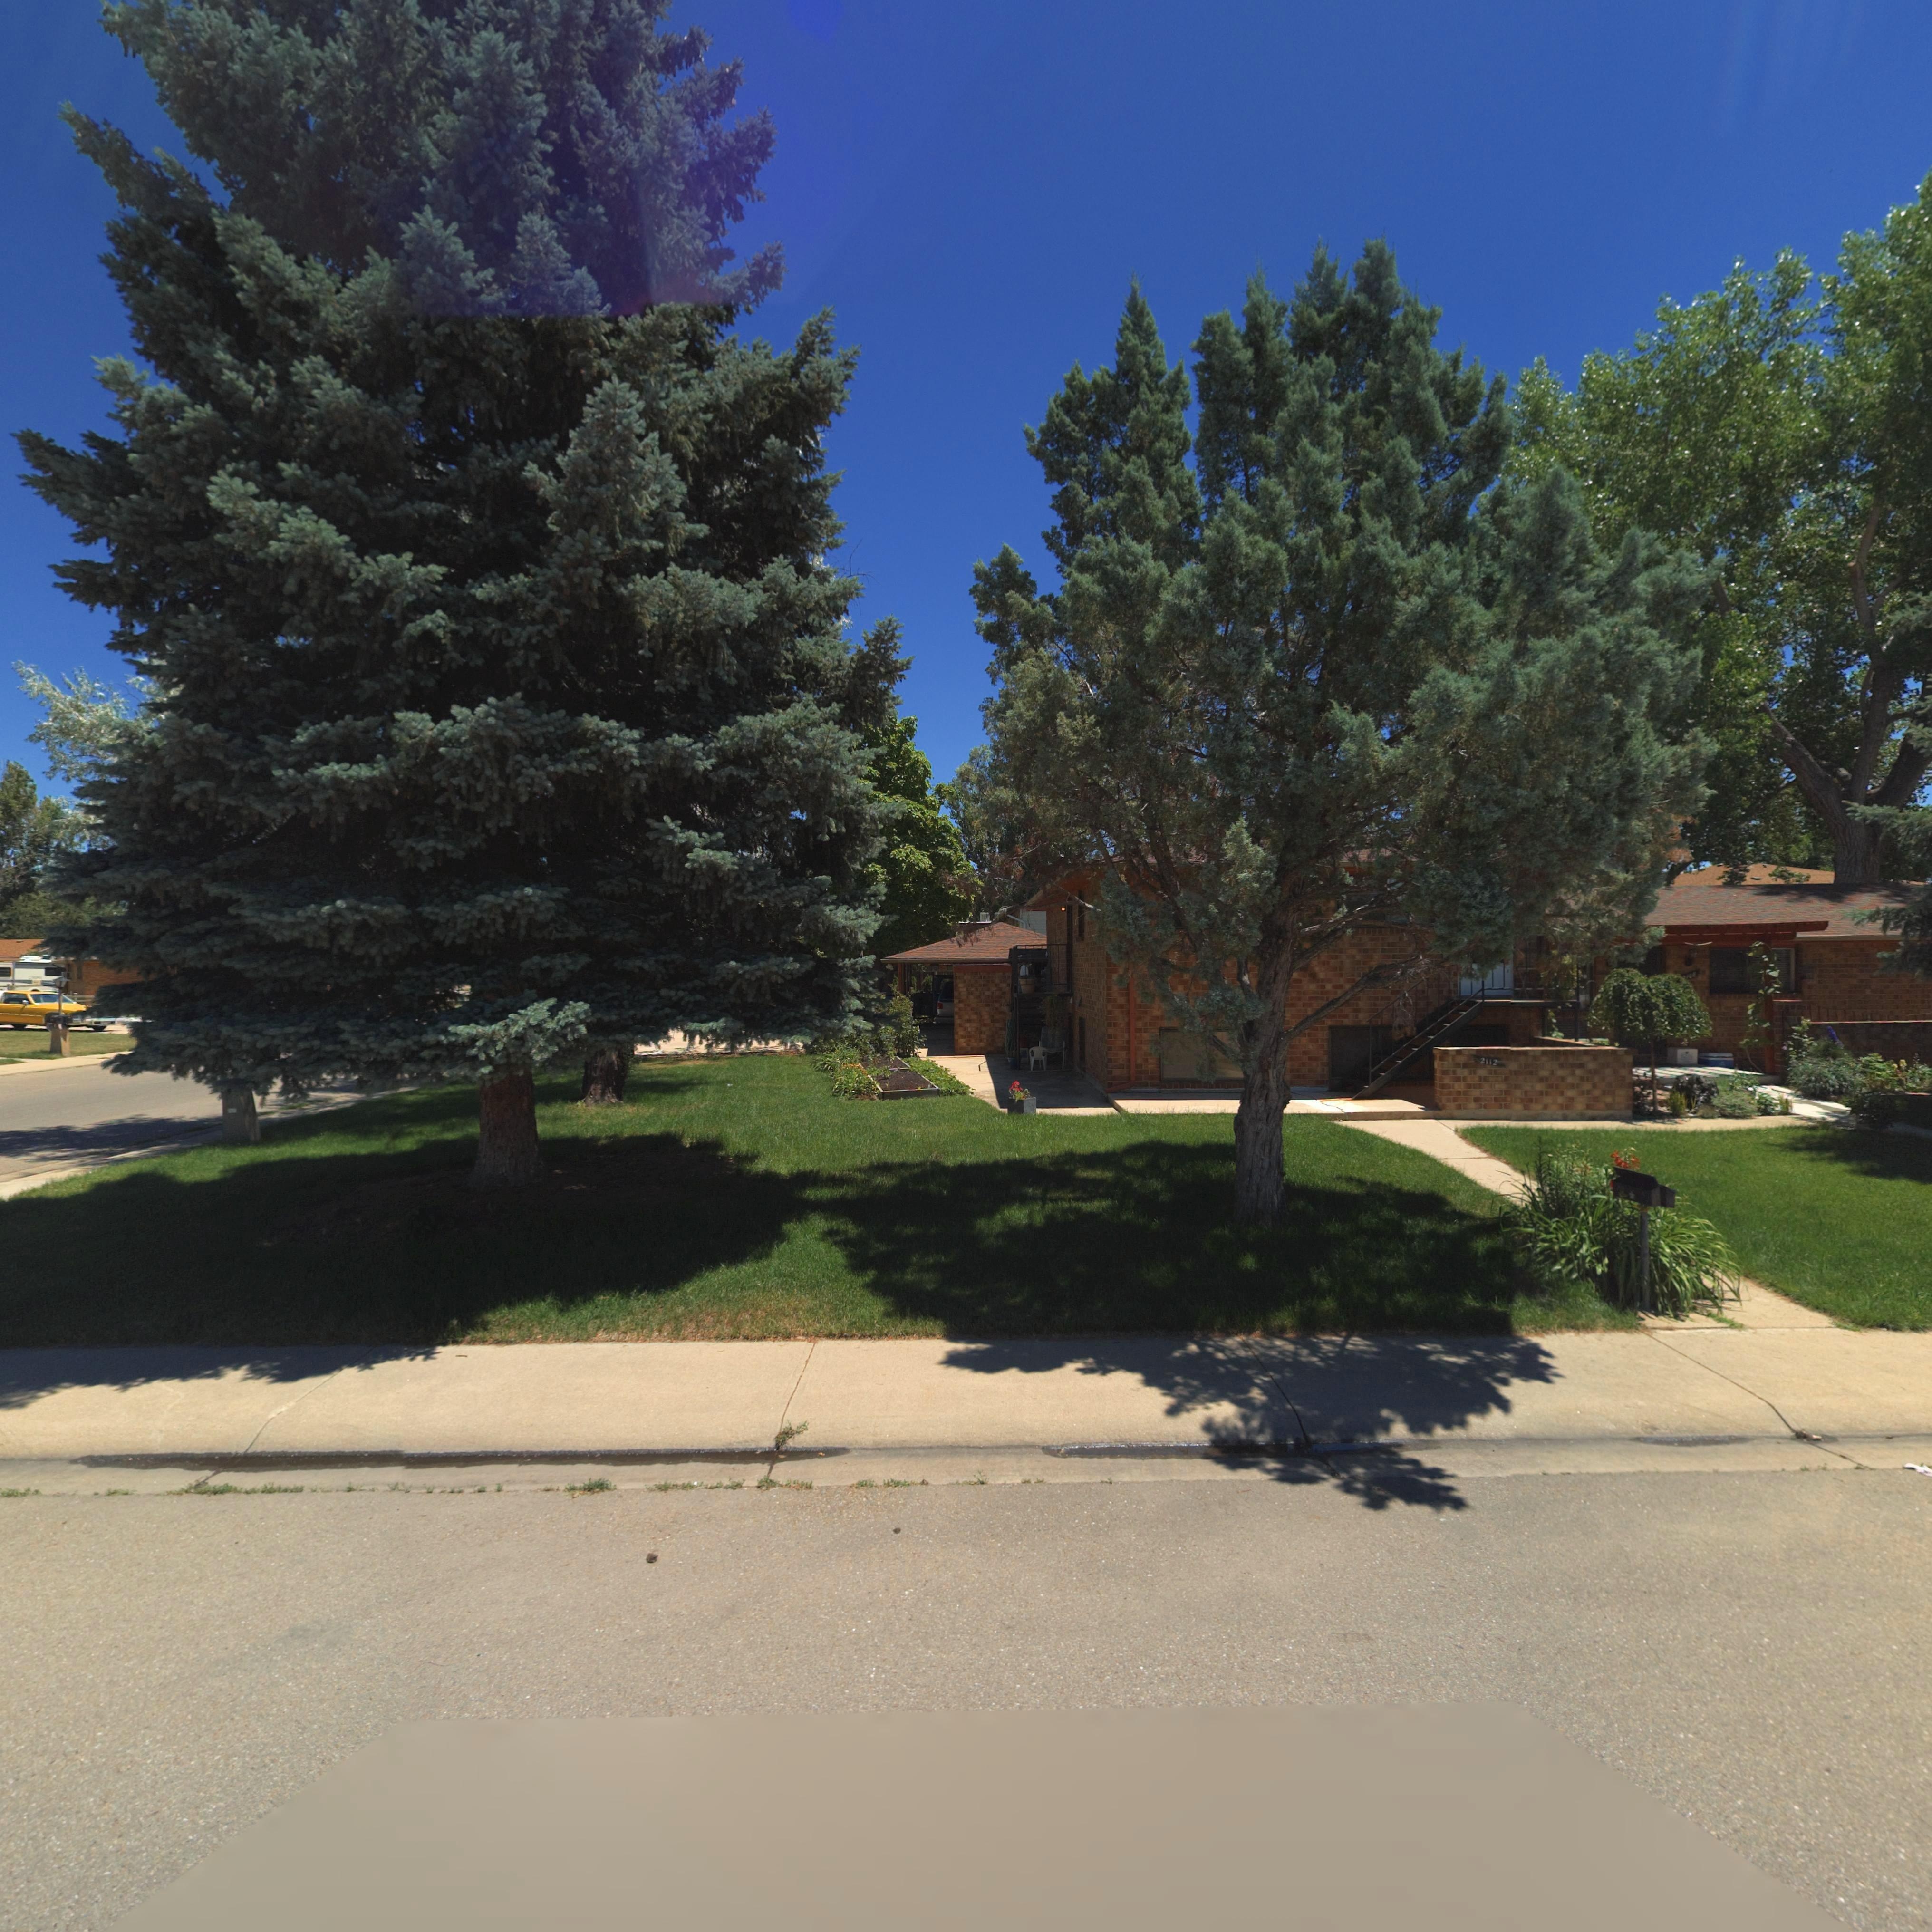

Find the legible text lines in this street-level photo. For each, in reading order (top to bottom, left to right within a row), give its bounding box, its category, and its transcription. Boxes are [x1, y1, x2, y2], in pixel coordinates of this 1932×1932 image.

[1478, 1056, 1499, 1066] StreetNumber: 2112